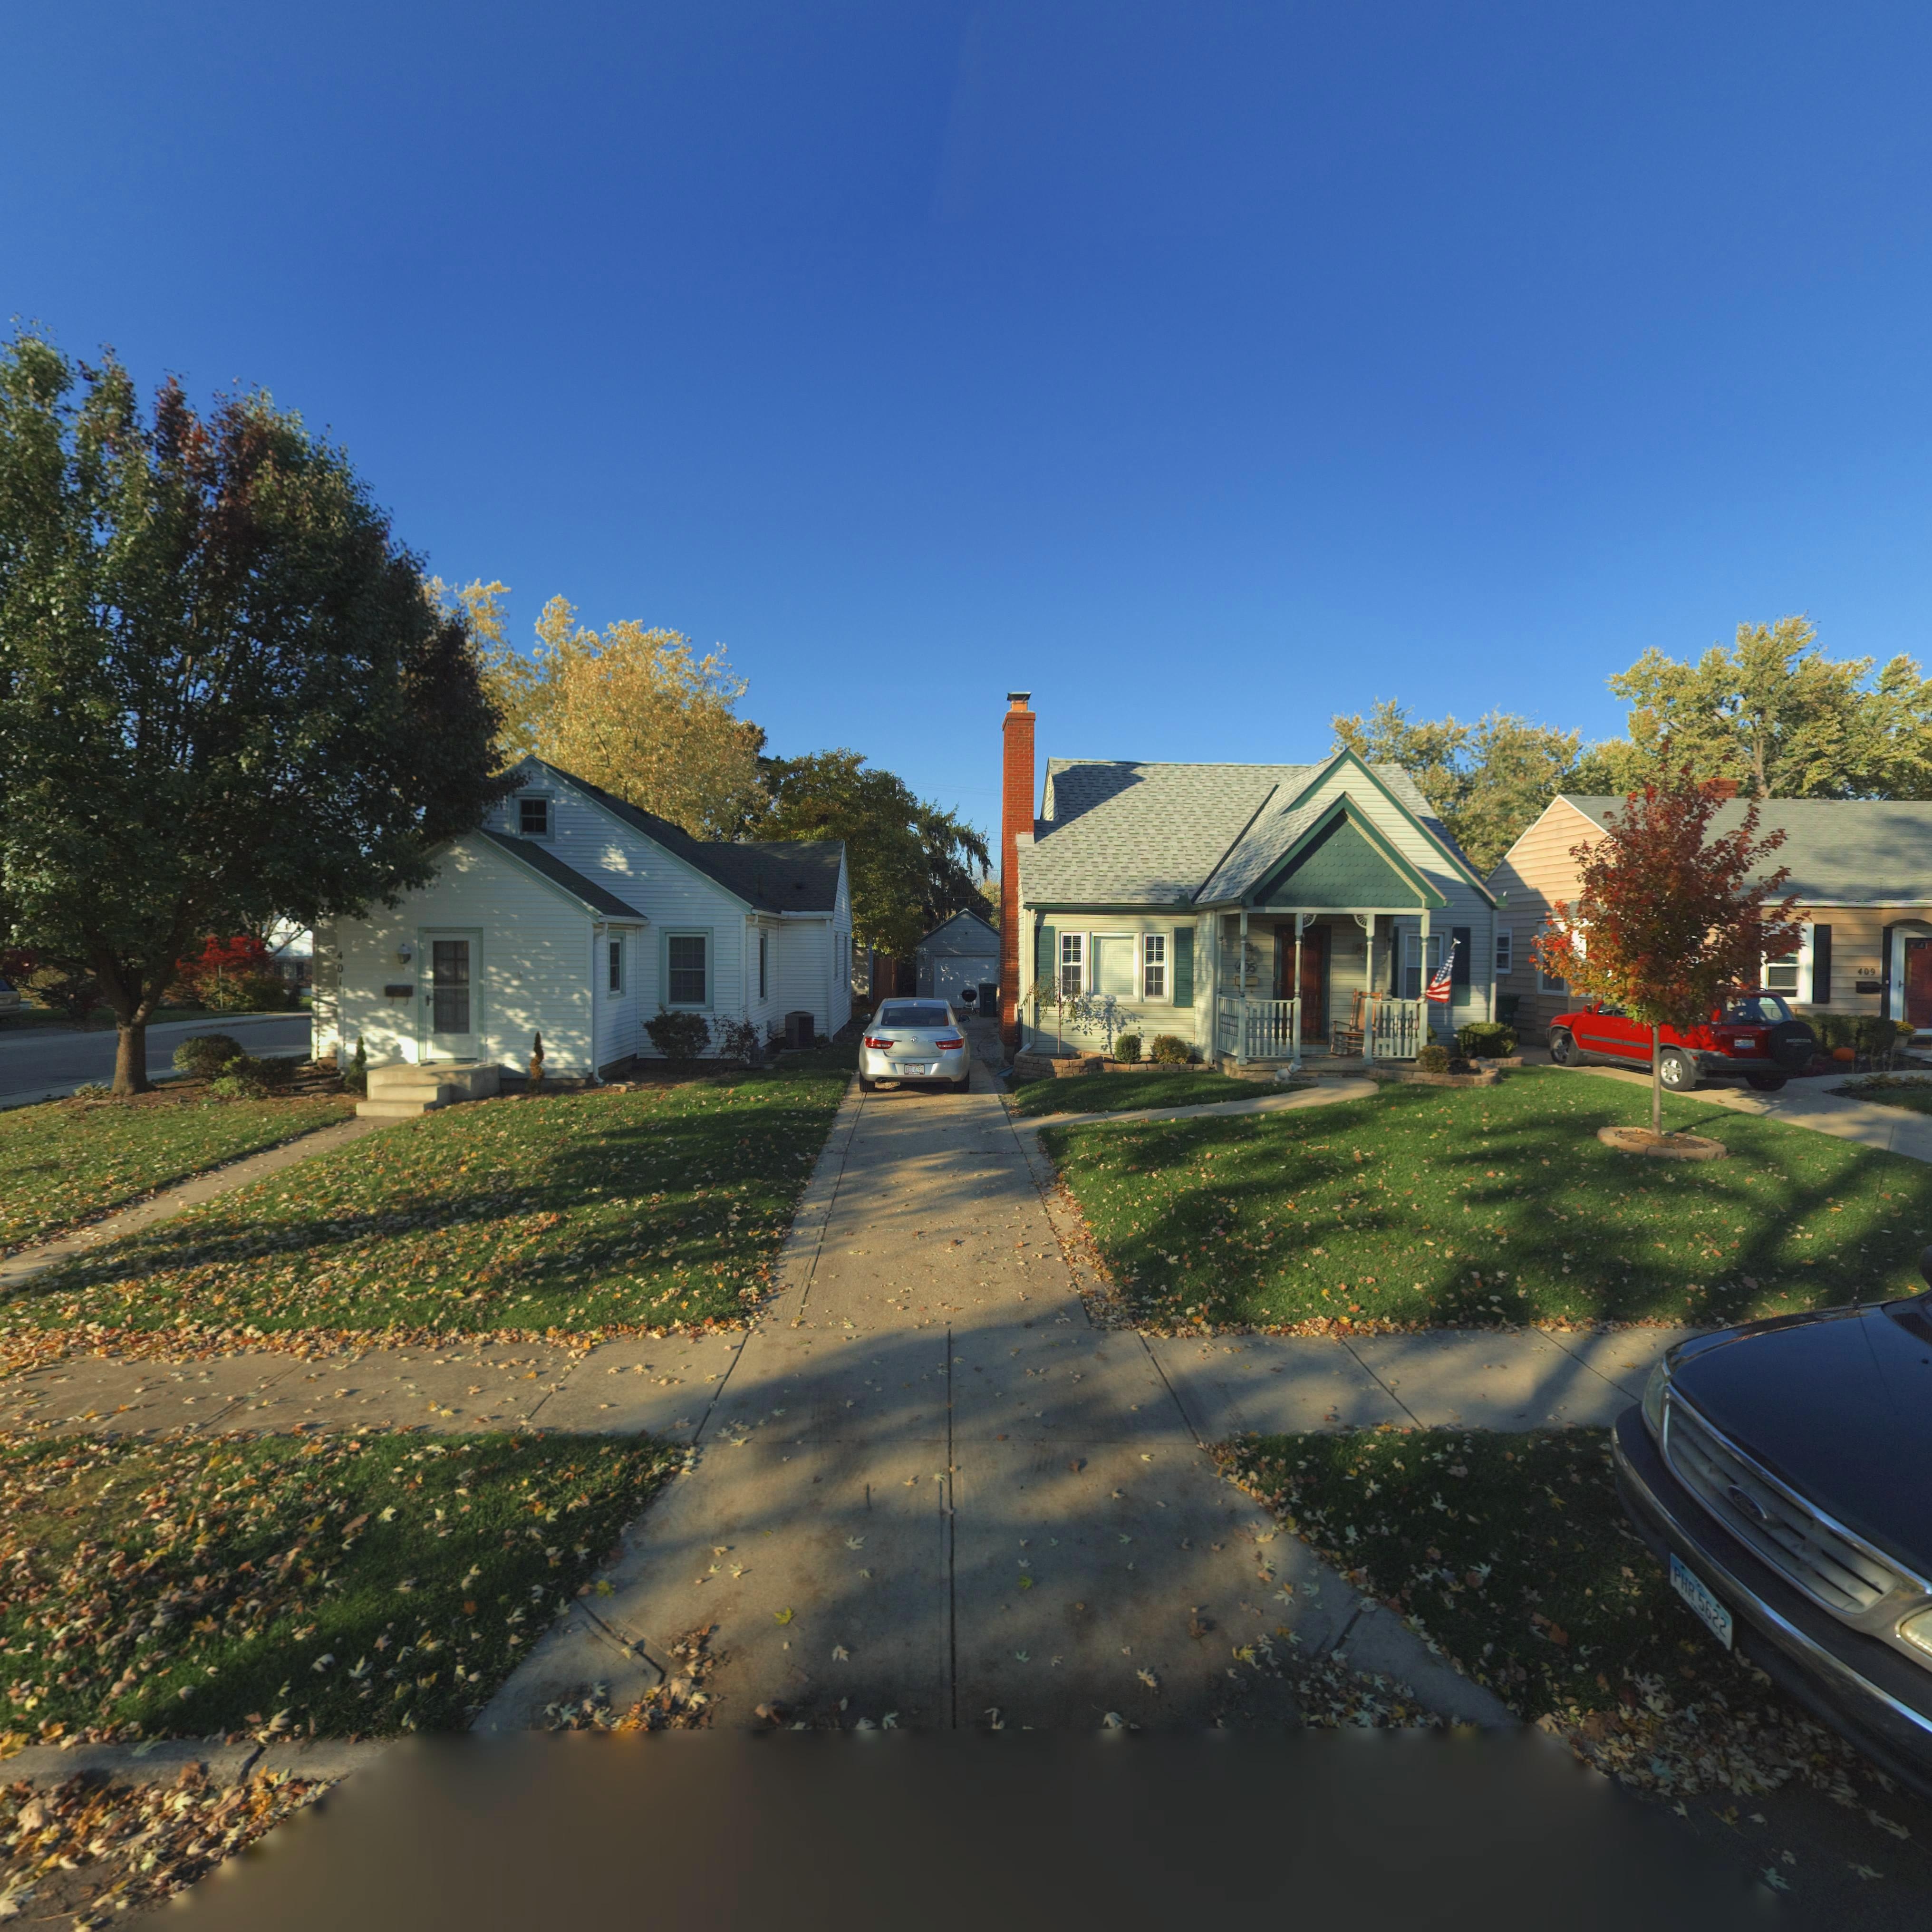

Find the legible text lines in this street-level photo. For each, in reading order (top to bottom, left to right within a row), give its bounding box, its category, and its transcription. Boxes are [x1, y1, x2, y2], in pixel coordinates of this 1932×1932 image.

[337, 950, 344, 986] StreetNumber: 401
[1248, 962, 1256, 973] StreetNumber: 5
[1856, 967, 1876, 976] StreetNumber: 409